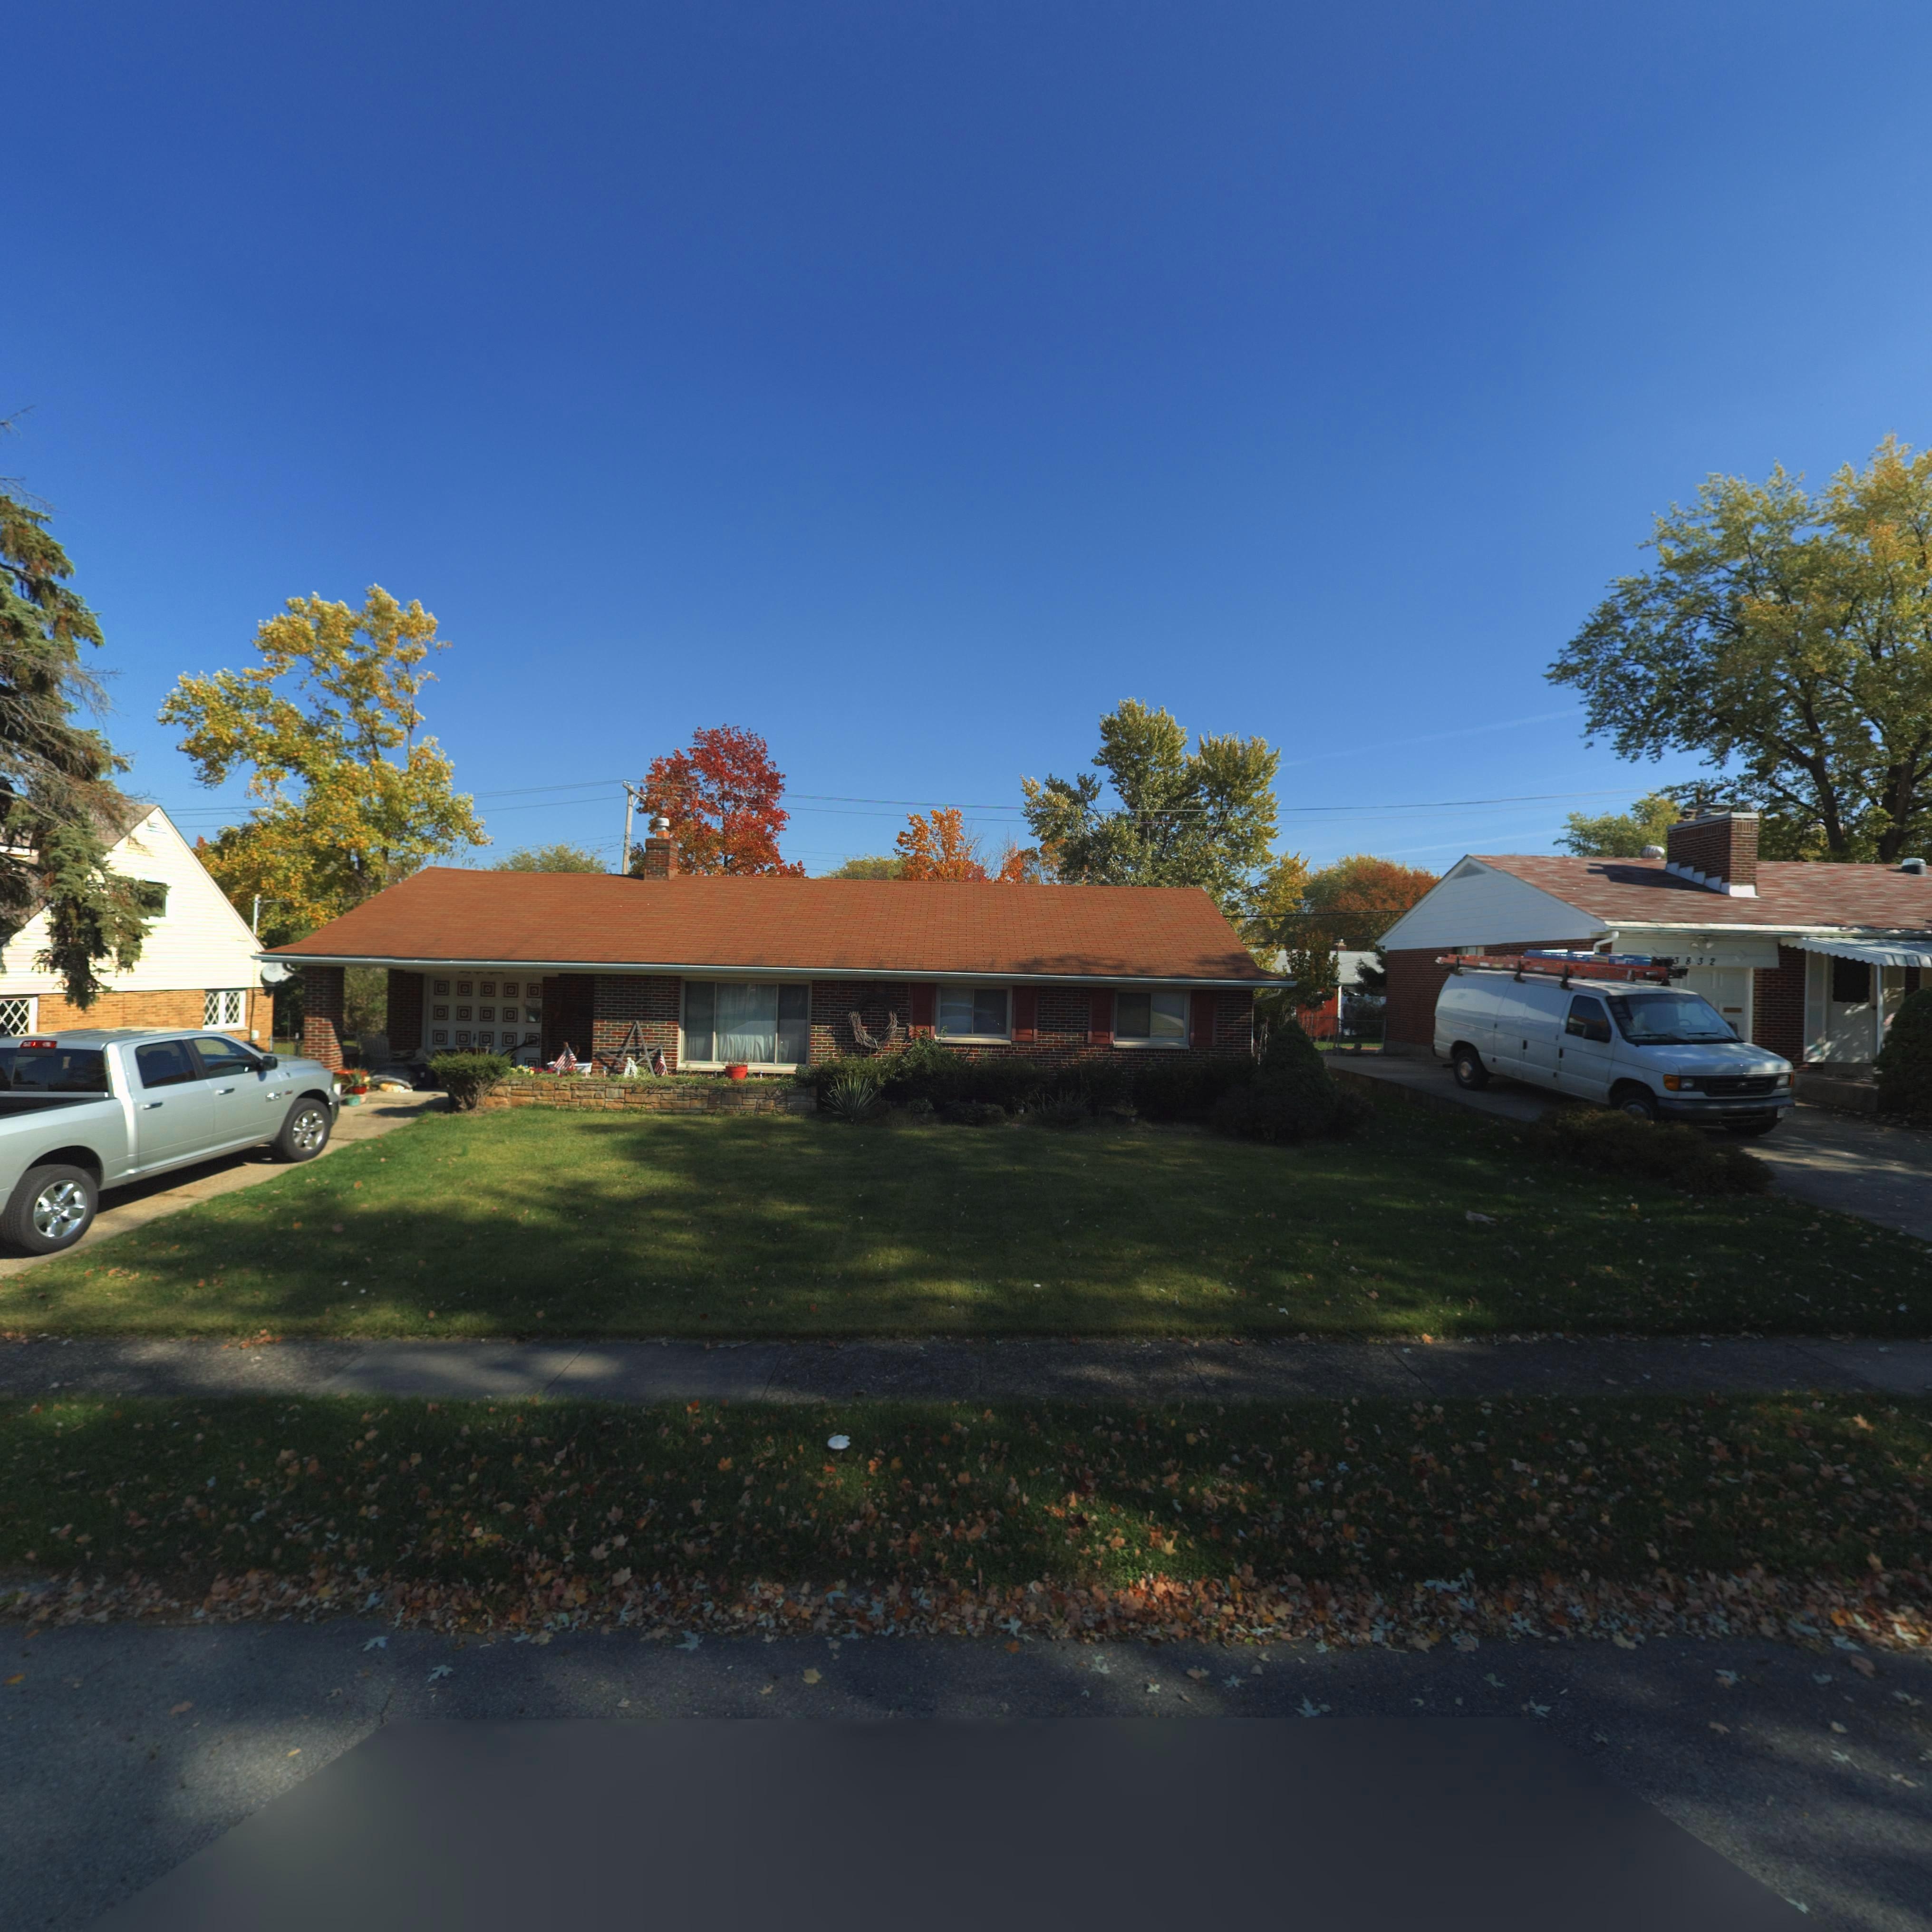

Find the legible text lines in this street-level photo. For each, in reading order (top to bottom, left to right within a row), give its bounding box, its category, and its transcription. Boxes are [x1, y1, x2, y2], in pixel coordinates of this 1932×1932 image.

[1672, 955, 1717, 966] StreetNumber: 3832